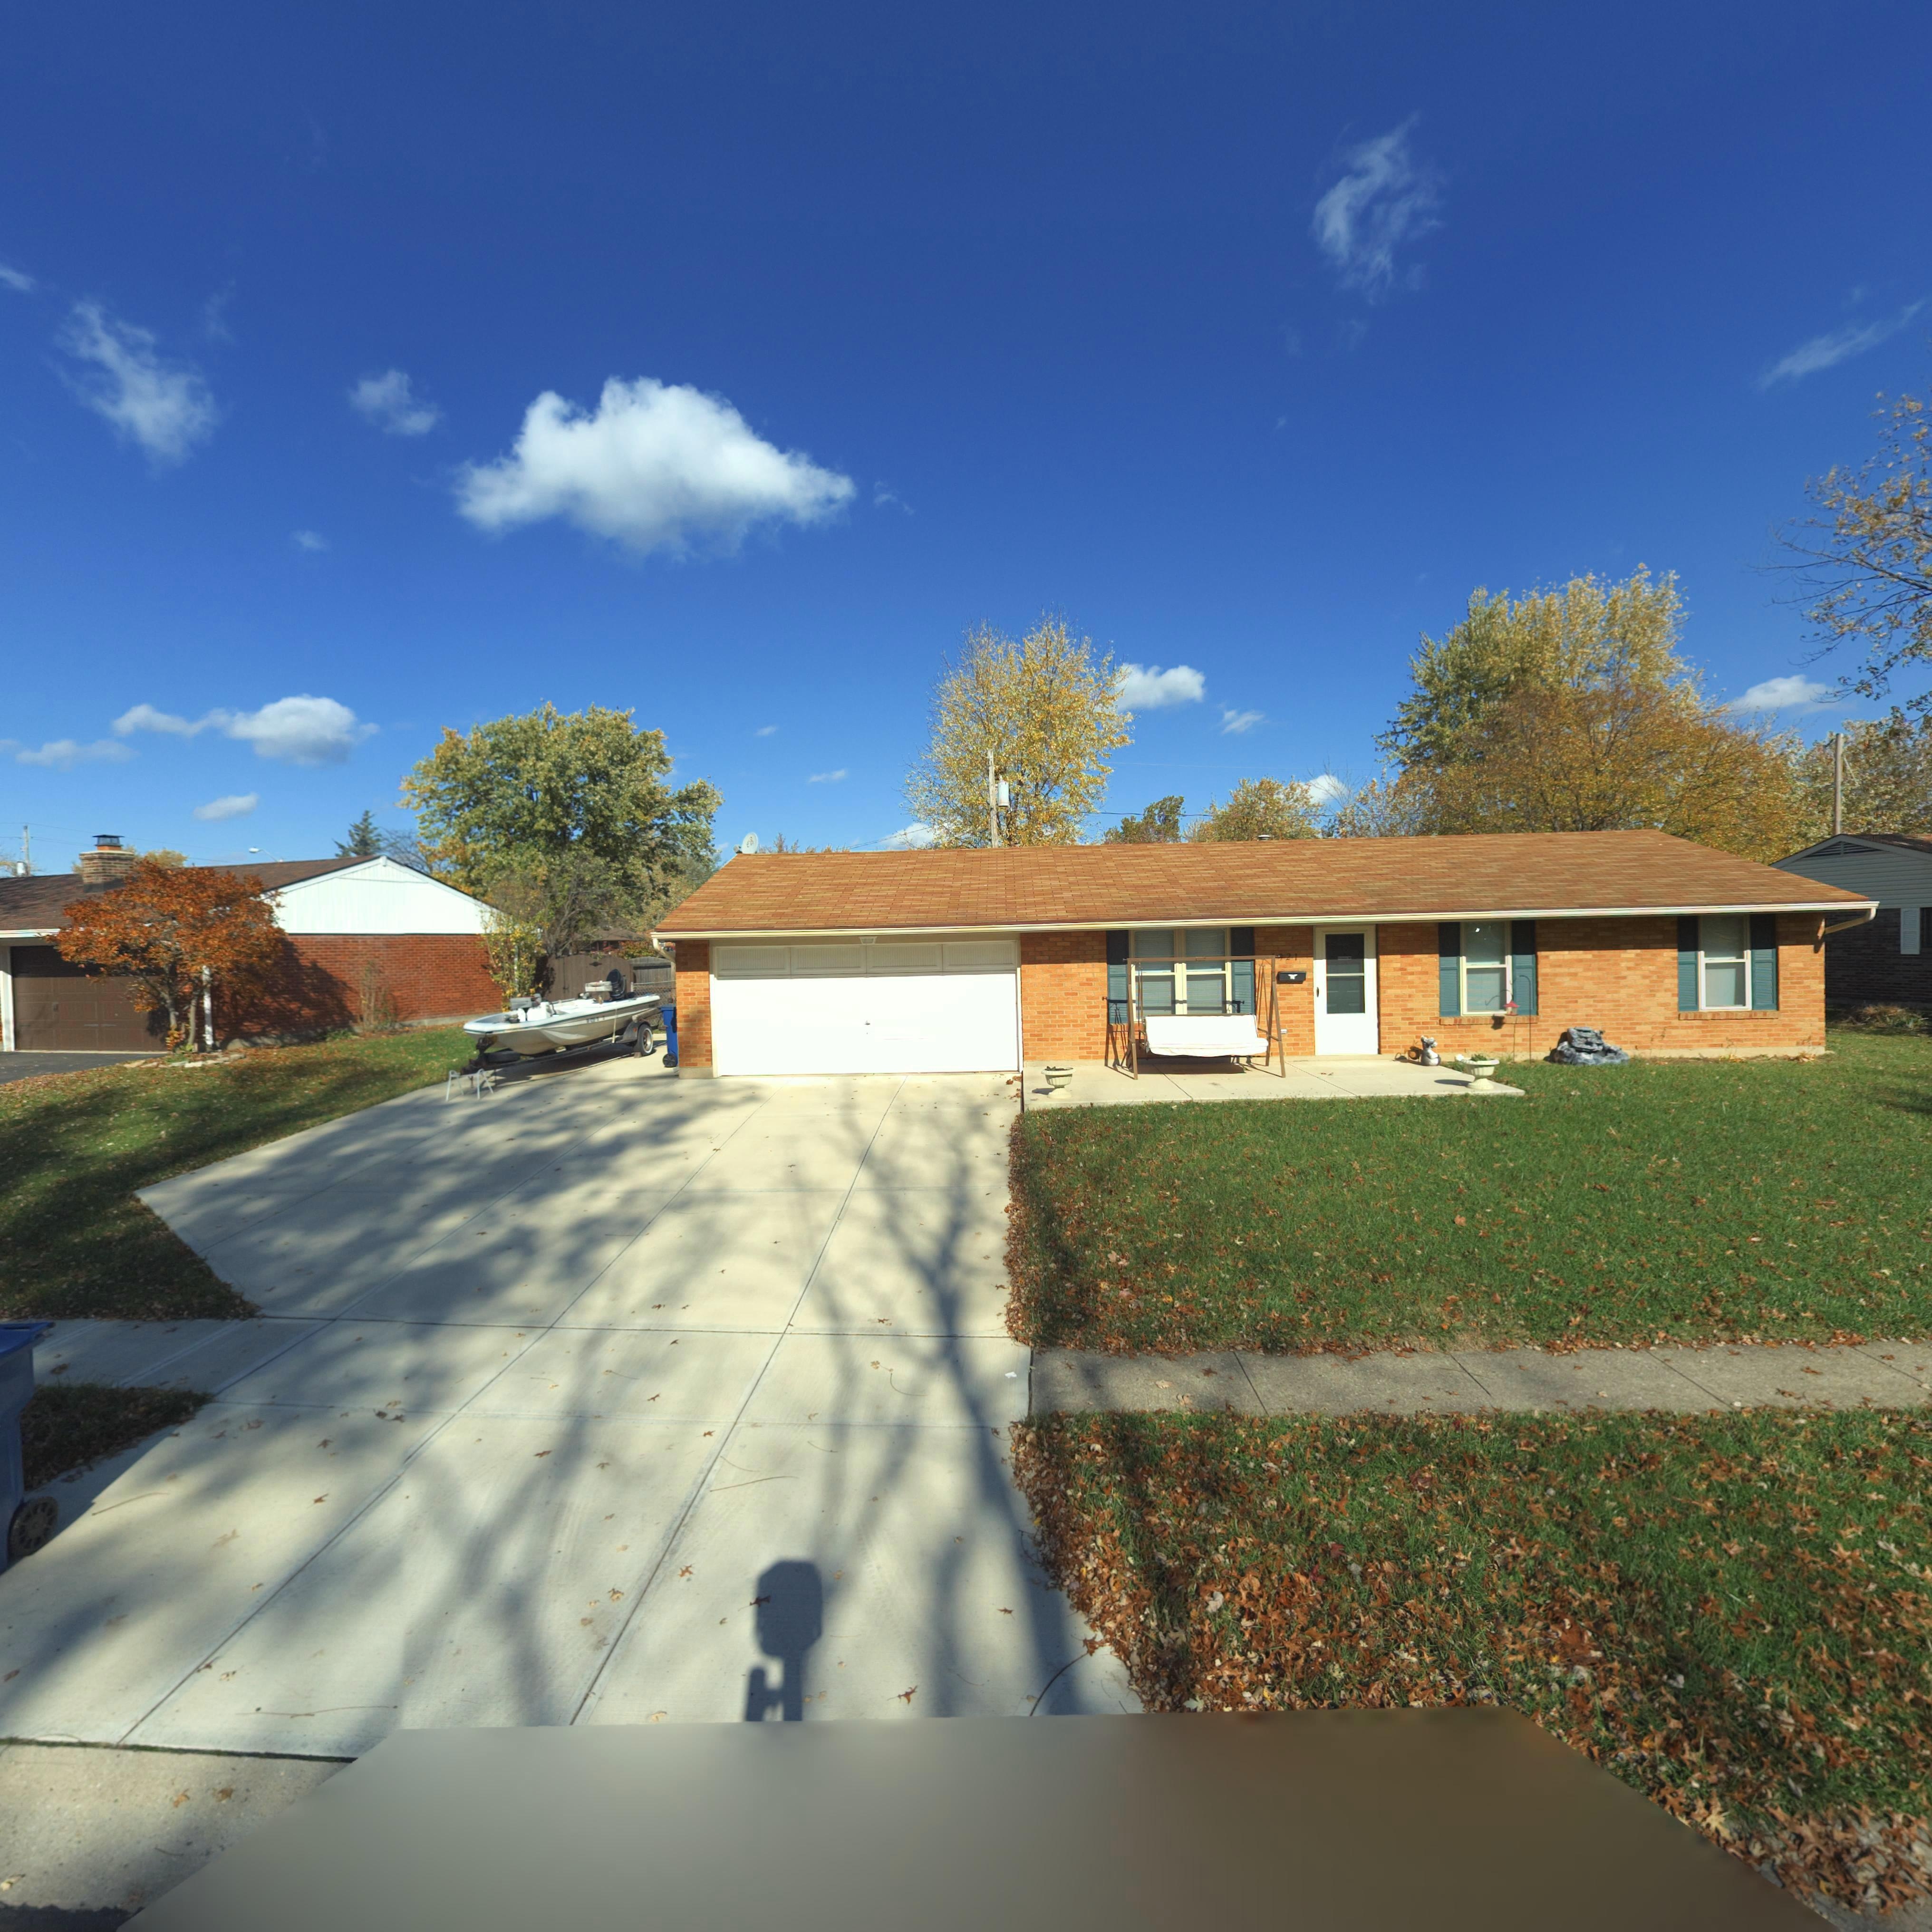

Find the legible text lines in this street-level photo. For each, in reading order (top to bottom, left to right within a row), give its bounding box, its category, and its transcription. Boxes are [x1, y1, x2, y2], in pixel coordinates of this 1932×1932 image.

[1276, 952, 1298, 962] StreetNumber: *21